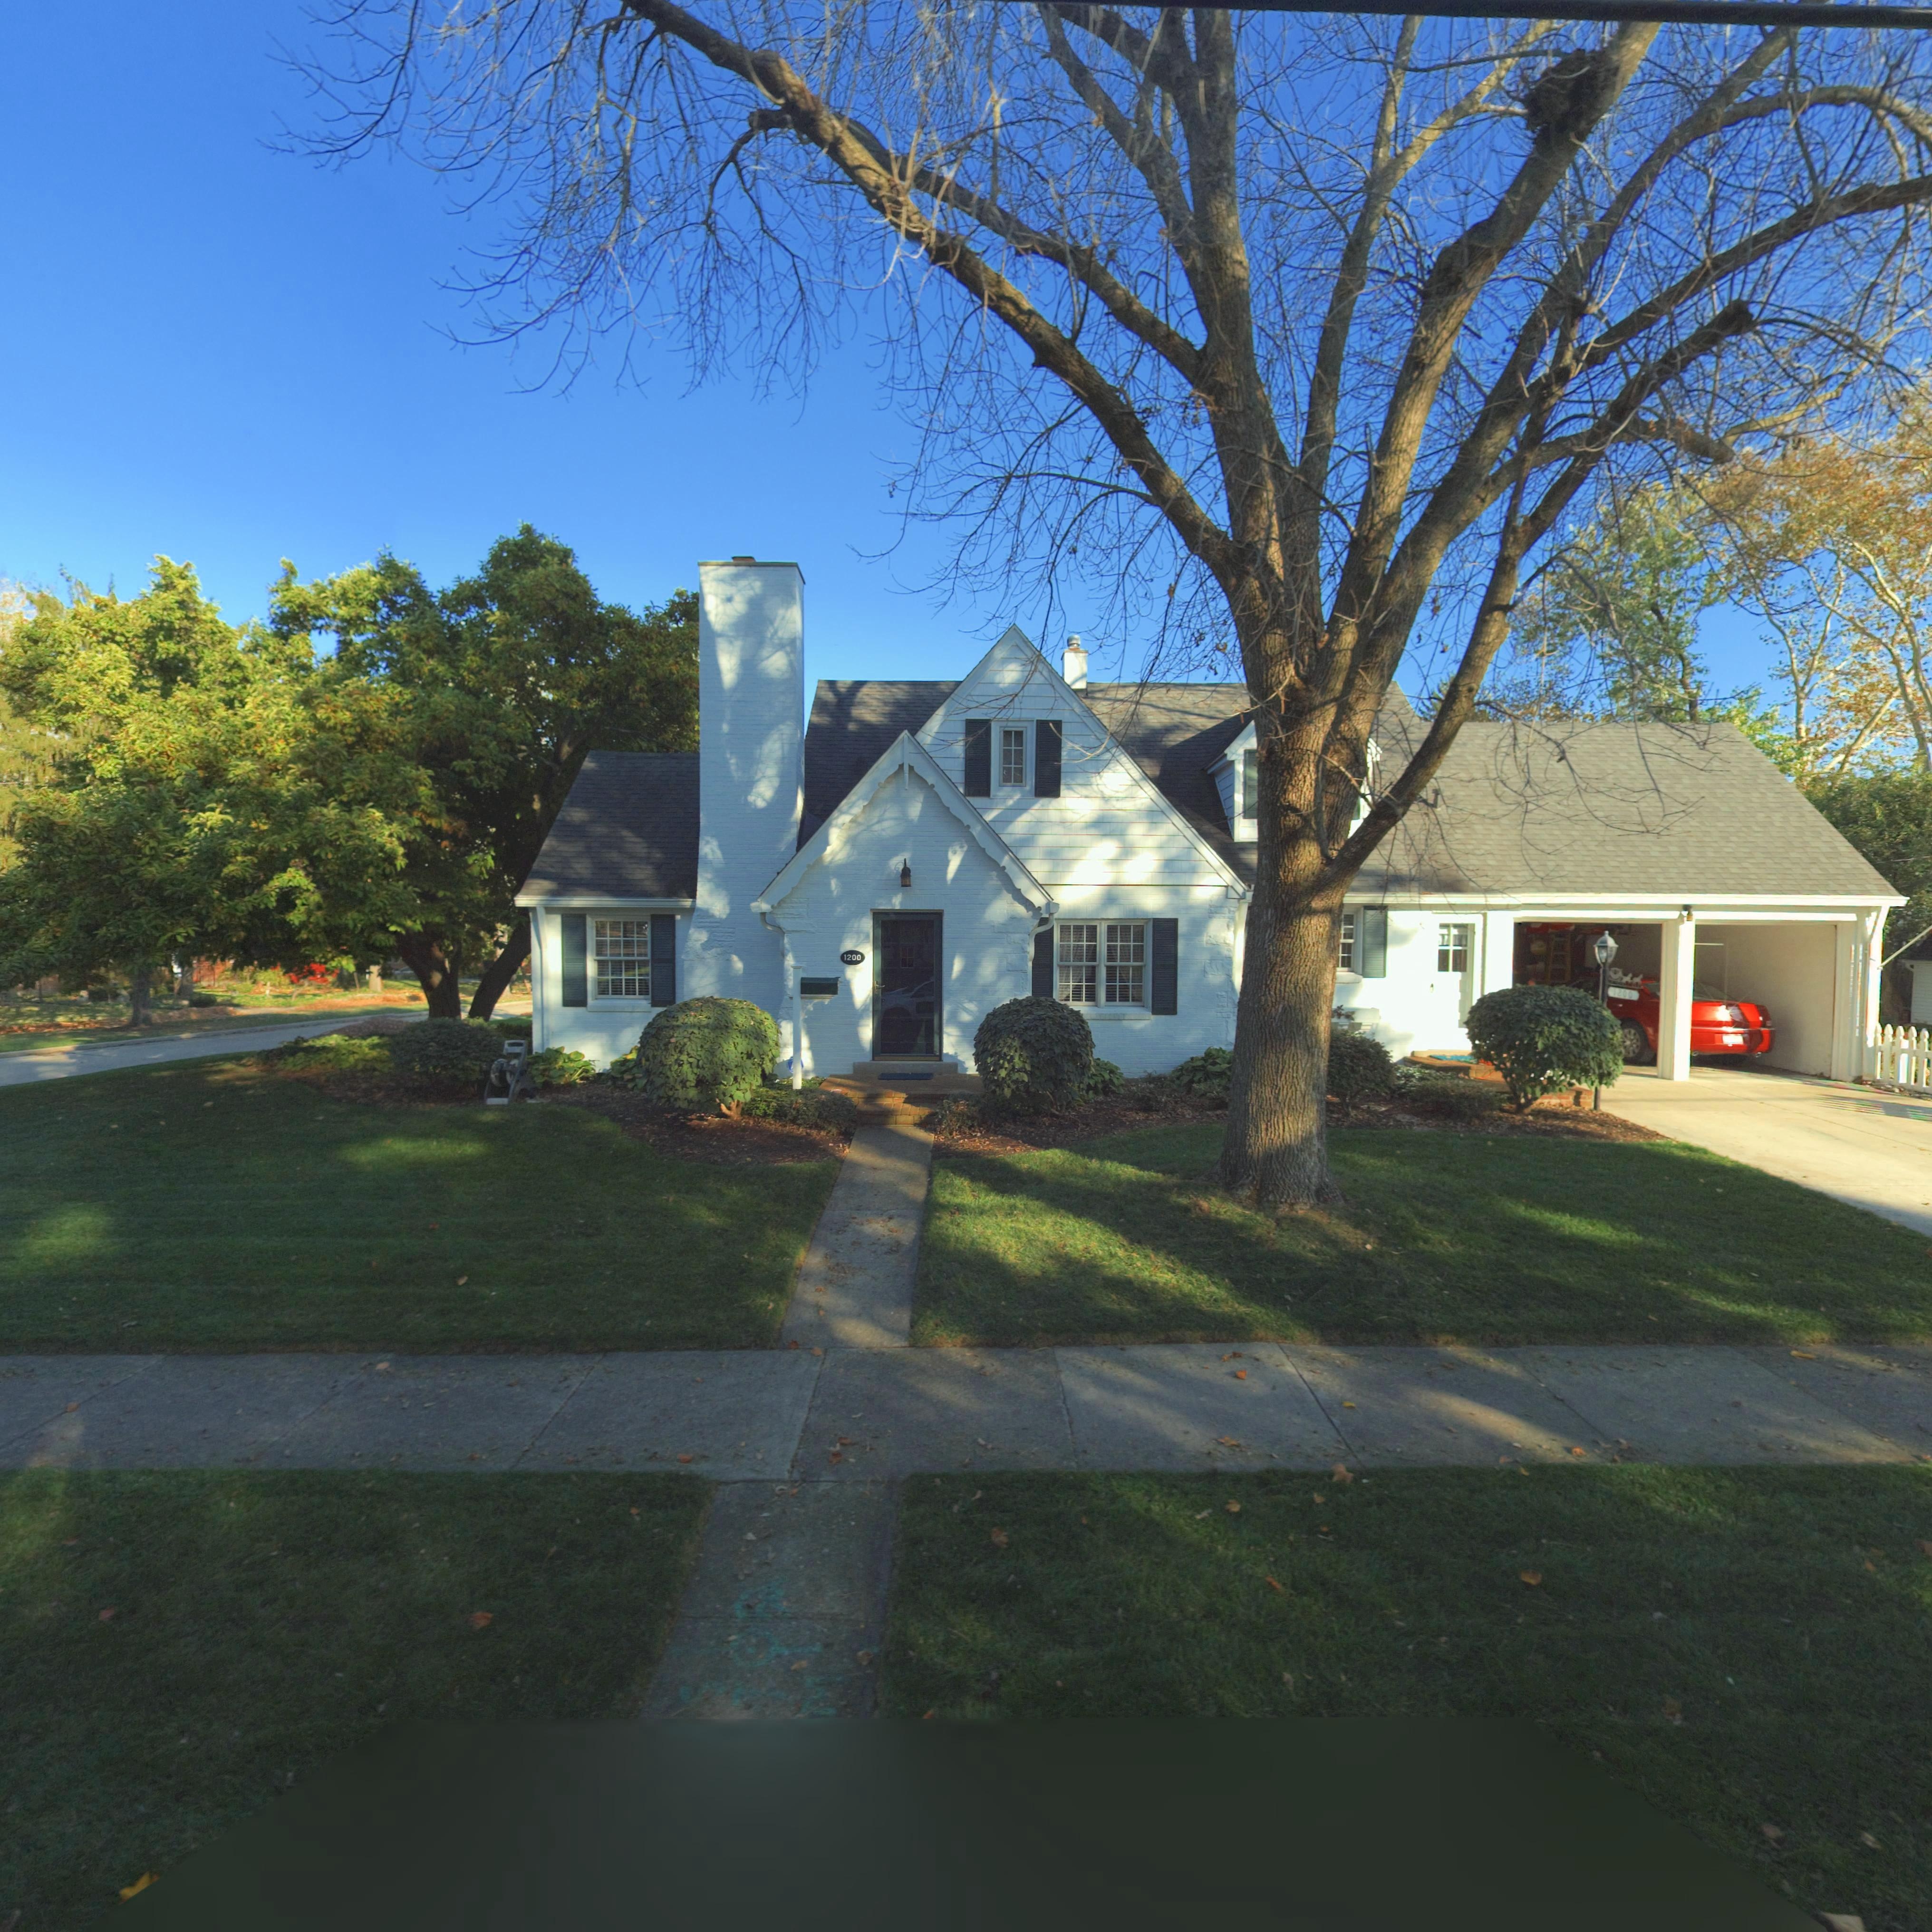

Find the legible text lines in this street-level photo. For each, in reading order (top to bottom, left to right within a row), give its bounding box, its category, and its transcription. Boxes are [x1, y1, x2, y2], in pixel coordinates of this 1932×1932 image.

[843, 954, 861, 961] StreetNumber: 1200
[1613, 987, 1633, 999] StreetNumber: 1200